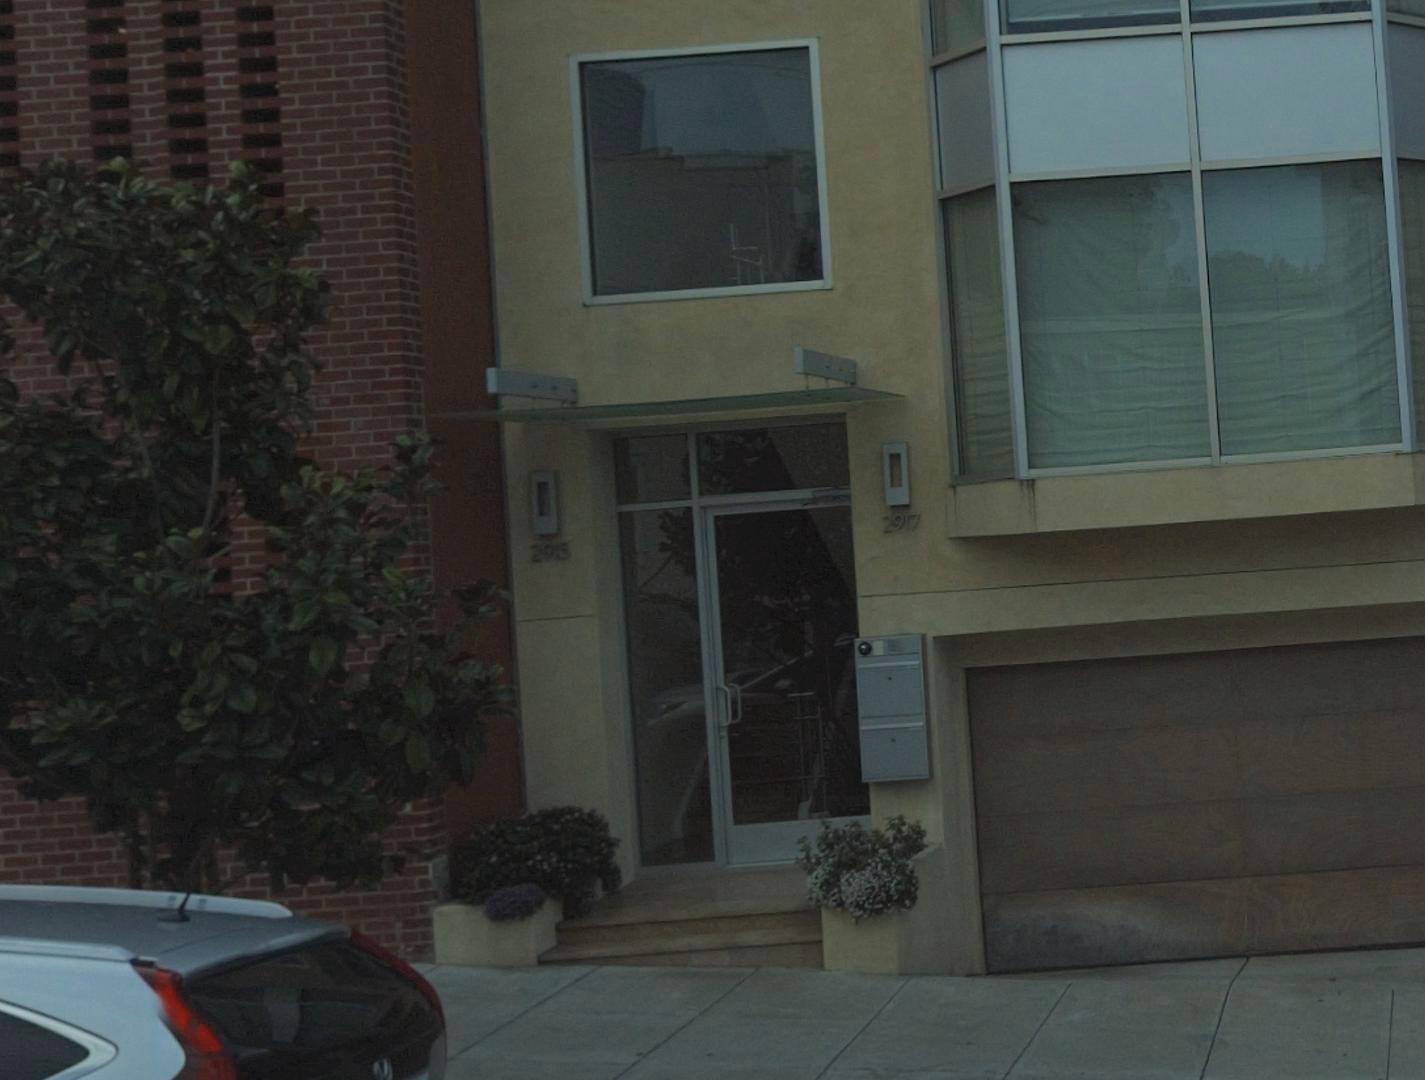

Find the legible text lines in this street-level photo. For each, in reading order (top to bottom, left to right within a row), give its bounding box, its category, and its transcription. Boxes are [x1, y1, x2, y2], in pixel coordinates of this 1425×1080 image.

[881, 511, 926, 536] StreetNumber: 2917
[527, 537, 576, 568] StreetNumber: 2915